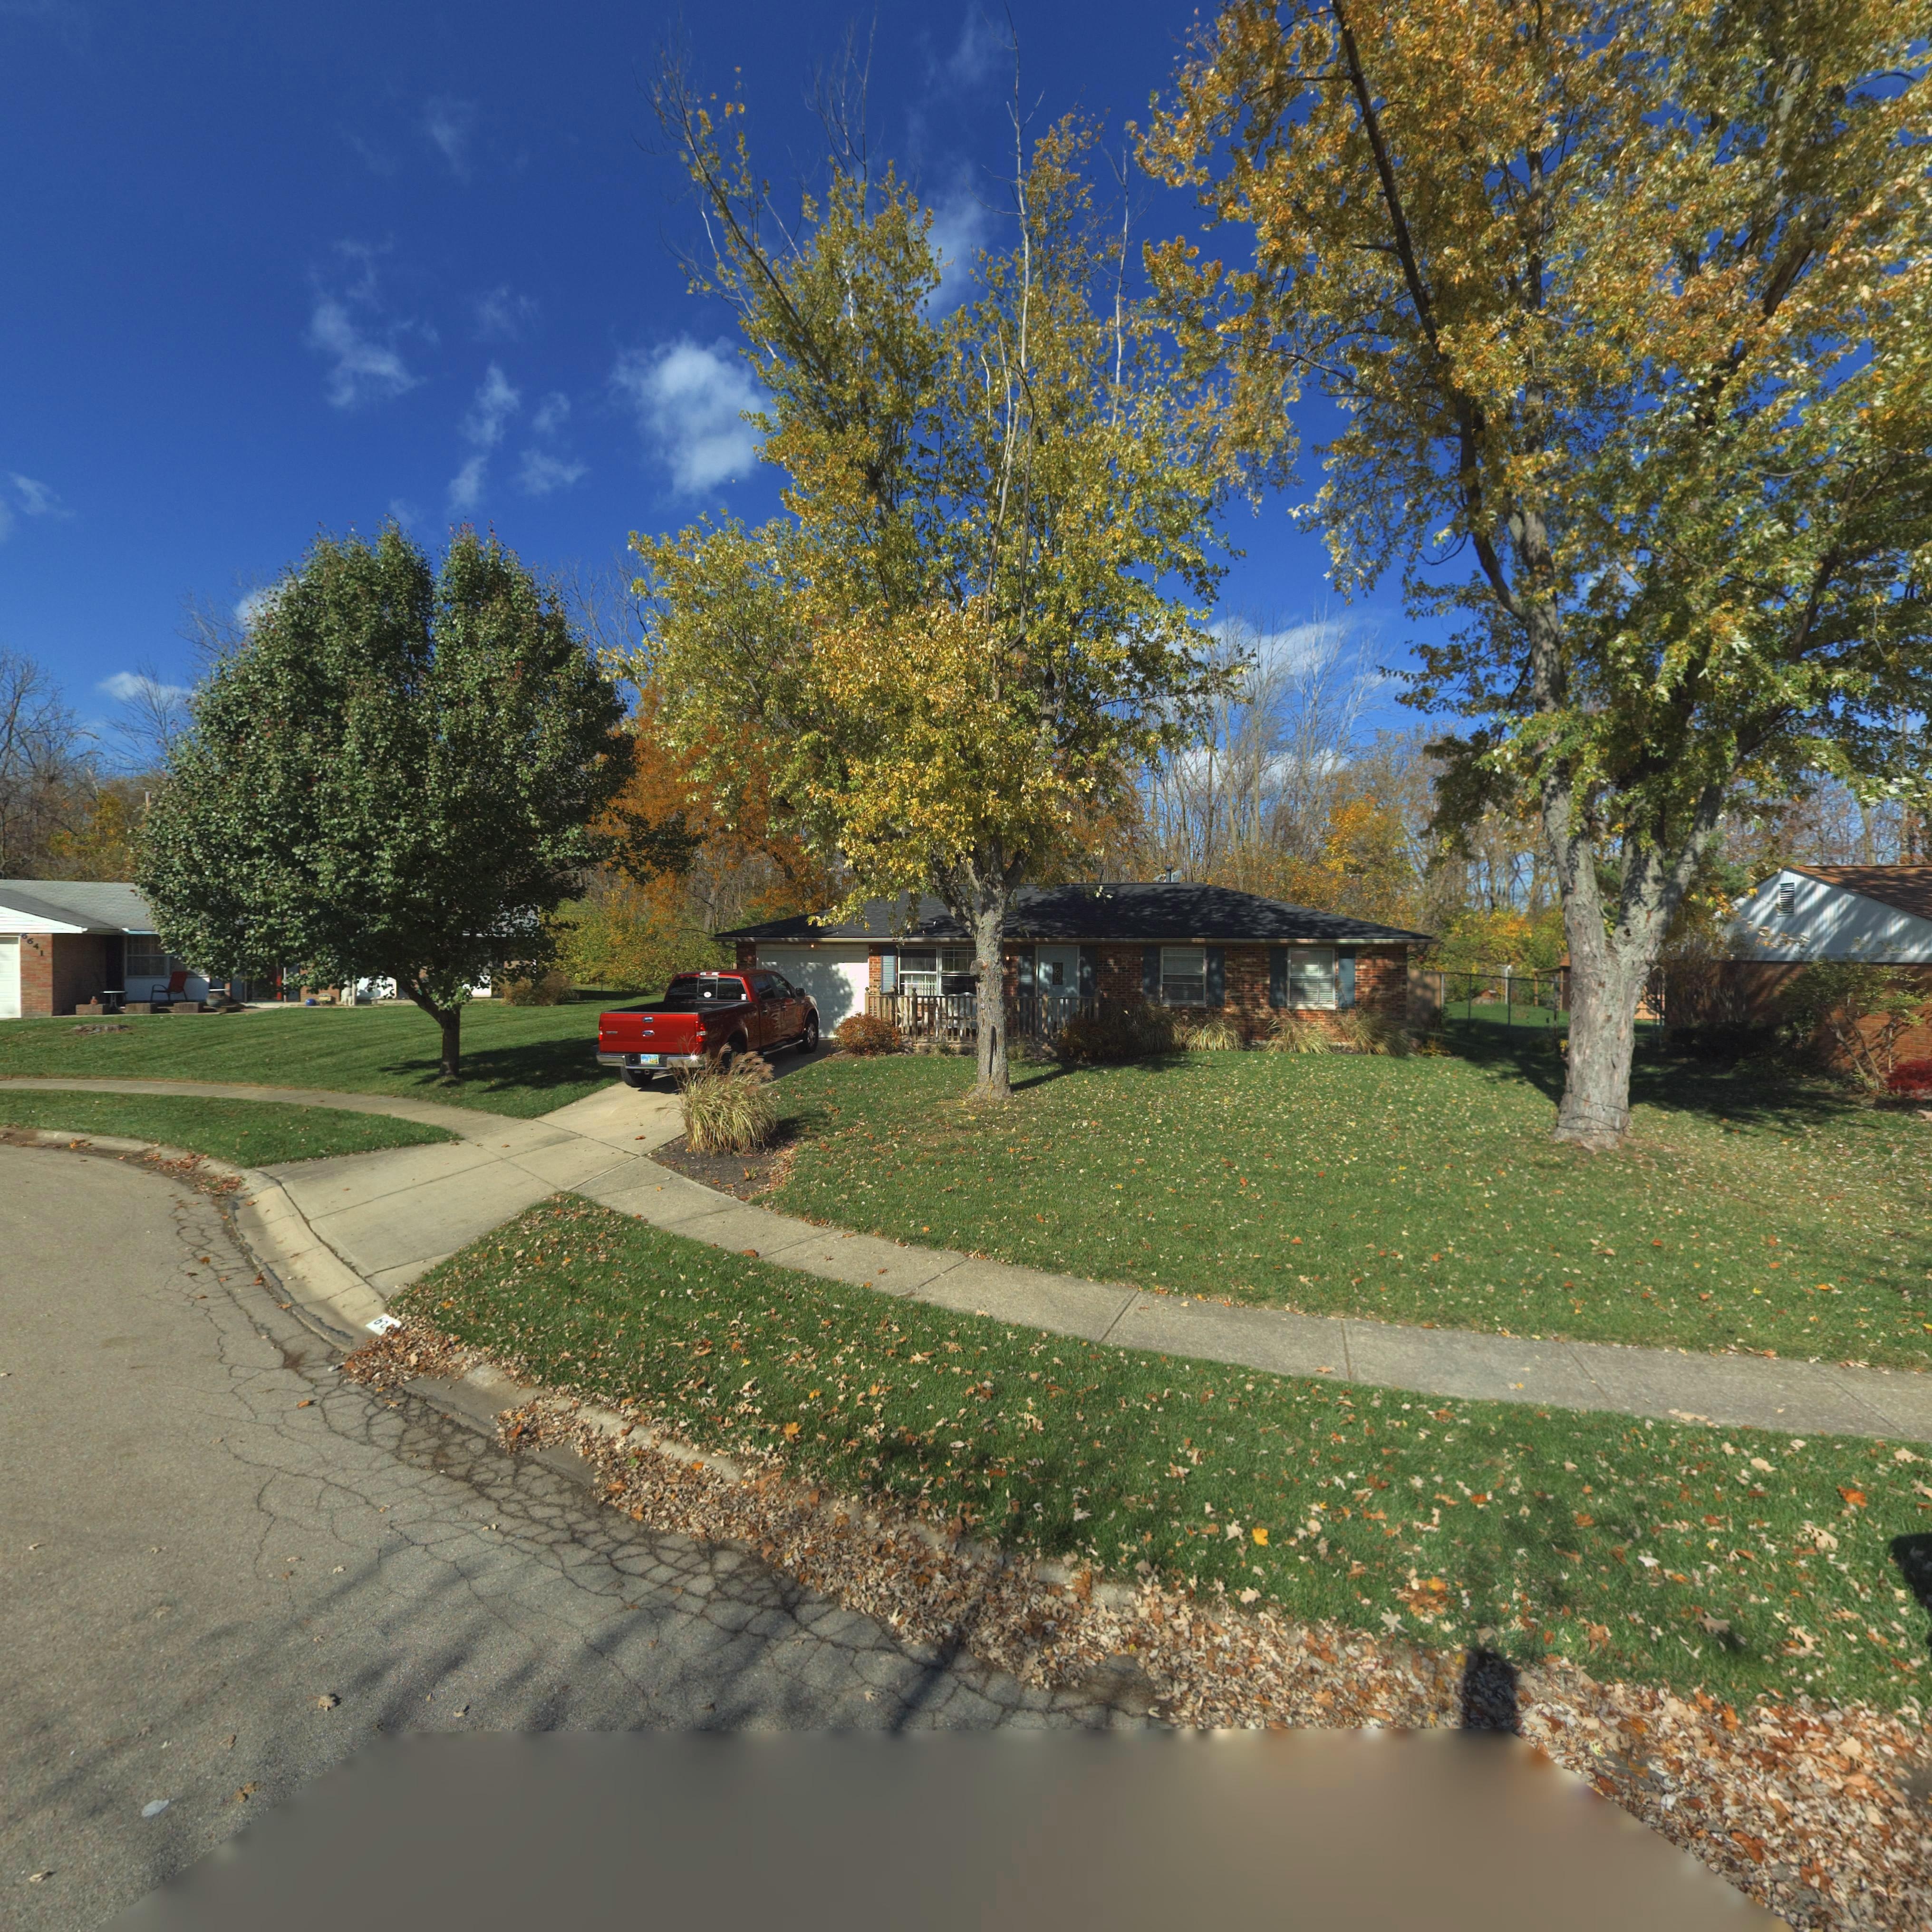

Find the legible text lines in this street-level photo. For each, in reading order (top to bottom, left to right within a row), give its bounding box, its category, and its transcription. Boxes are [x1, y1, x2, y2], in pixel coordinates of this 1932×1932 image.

[20, 933, 44, 957] StreetNumber: 6641
[373, 1316, 386, 1325] StreetNumber: 6